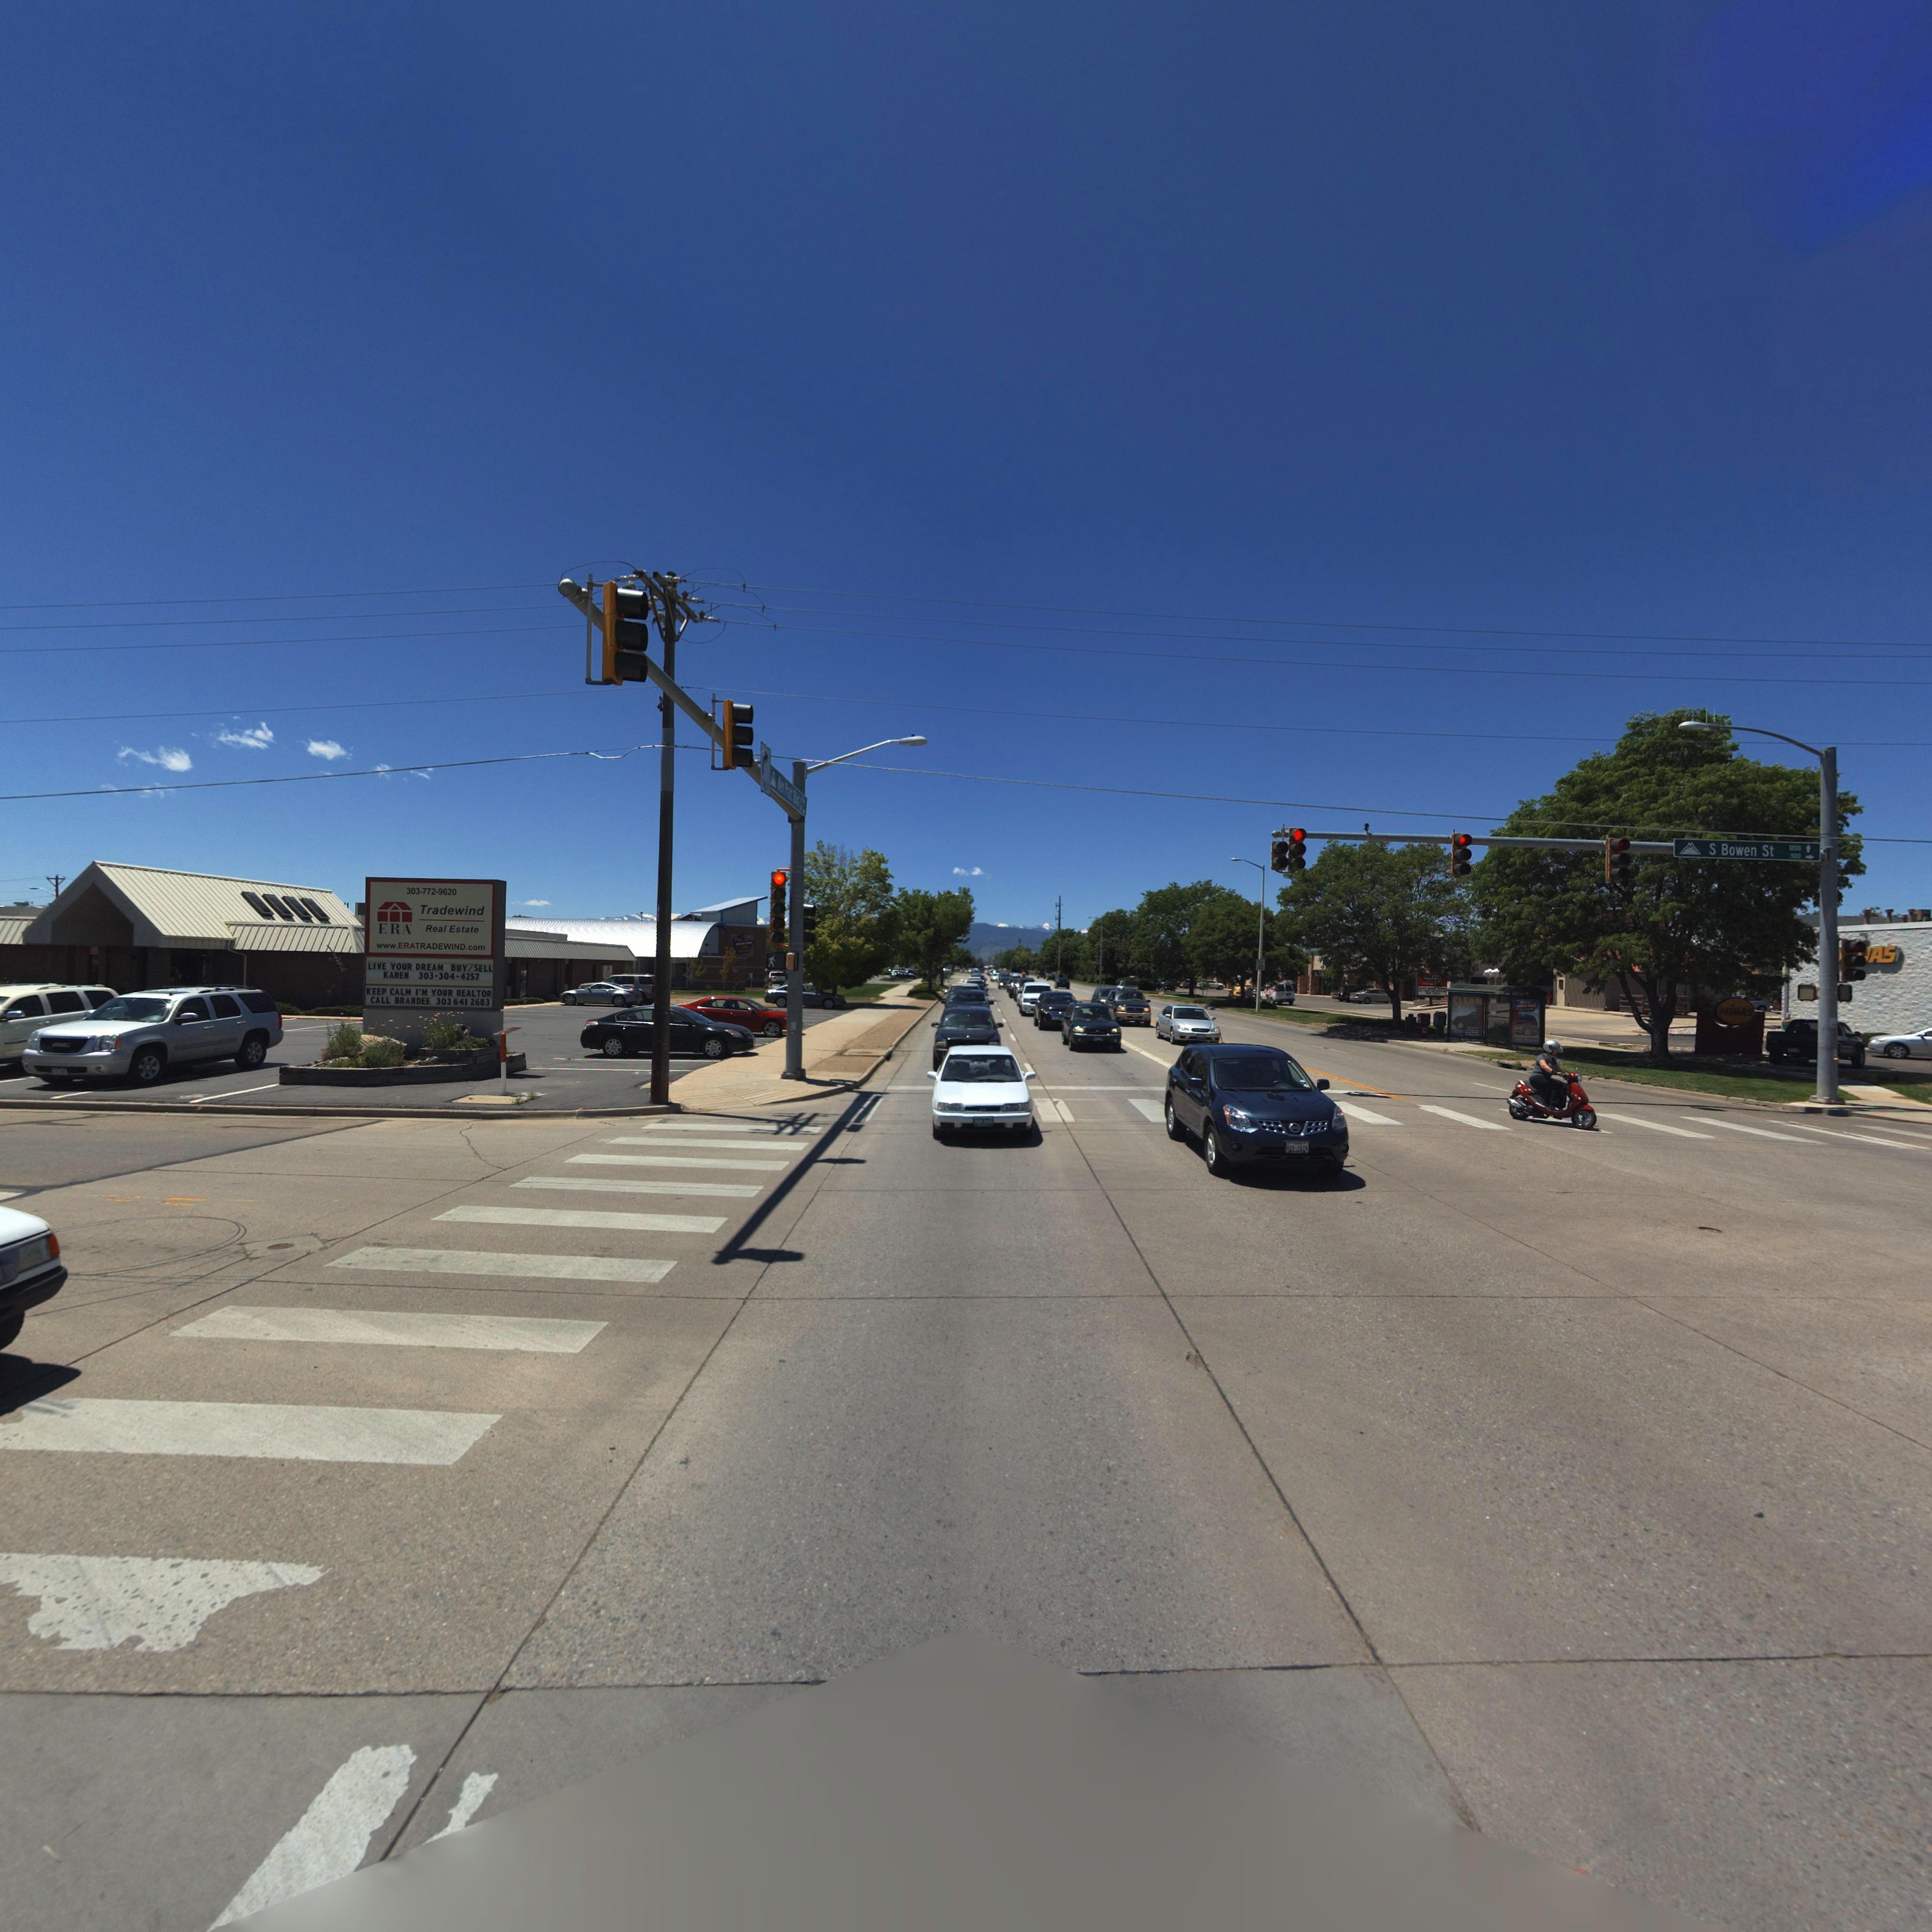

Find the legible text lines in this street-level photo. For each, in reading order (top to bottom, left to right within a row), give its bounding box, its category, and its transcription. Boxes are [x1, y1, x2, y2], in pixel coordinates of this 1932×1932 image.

[776, 775, 800, 807] StreetName: Ken Pratt Blvd
[1709, 841, 1774, 857] StreetName: S Bowen St
[1788, 844, 1802, 850] StreetNumberRange: 1200
[1790, 852, 1815, 860] StreetNumberRange: 500->
[420, 904, 485, 916] BusinessName: Tradewind
[424, 924, 479, 933] BusinessName: Real Estate
[1422, 978, 1442, 982] BusinessName: MONKEY